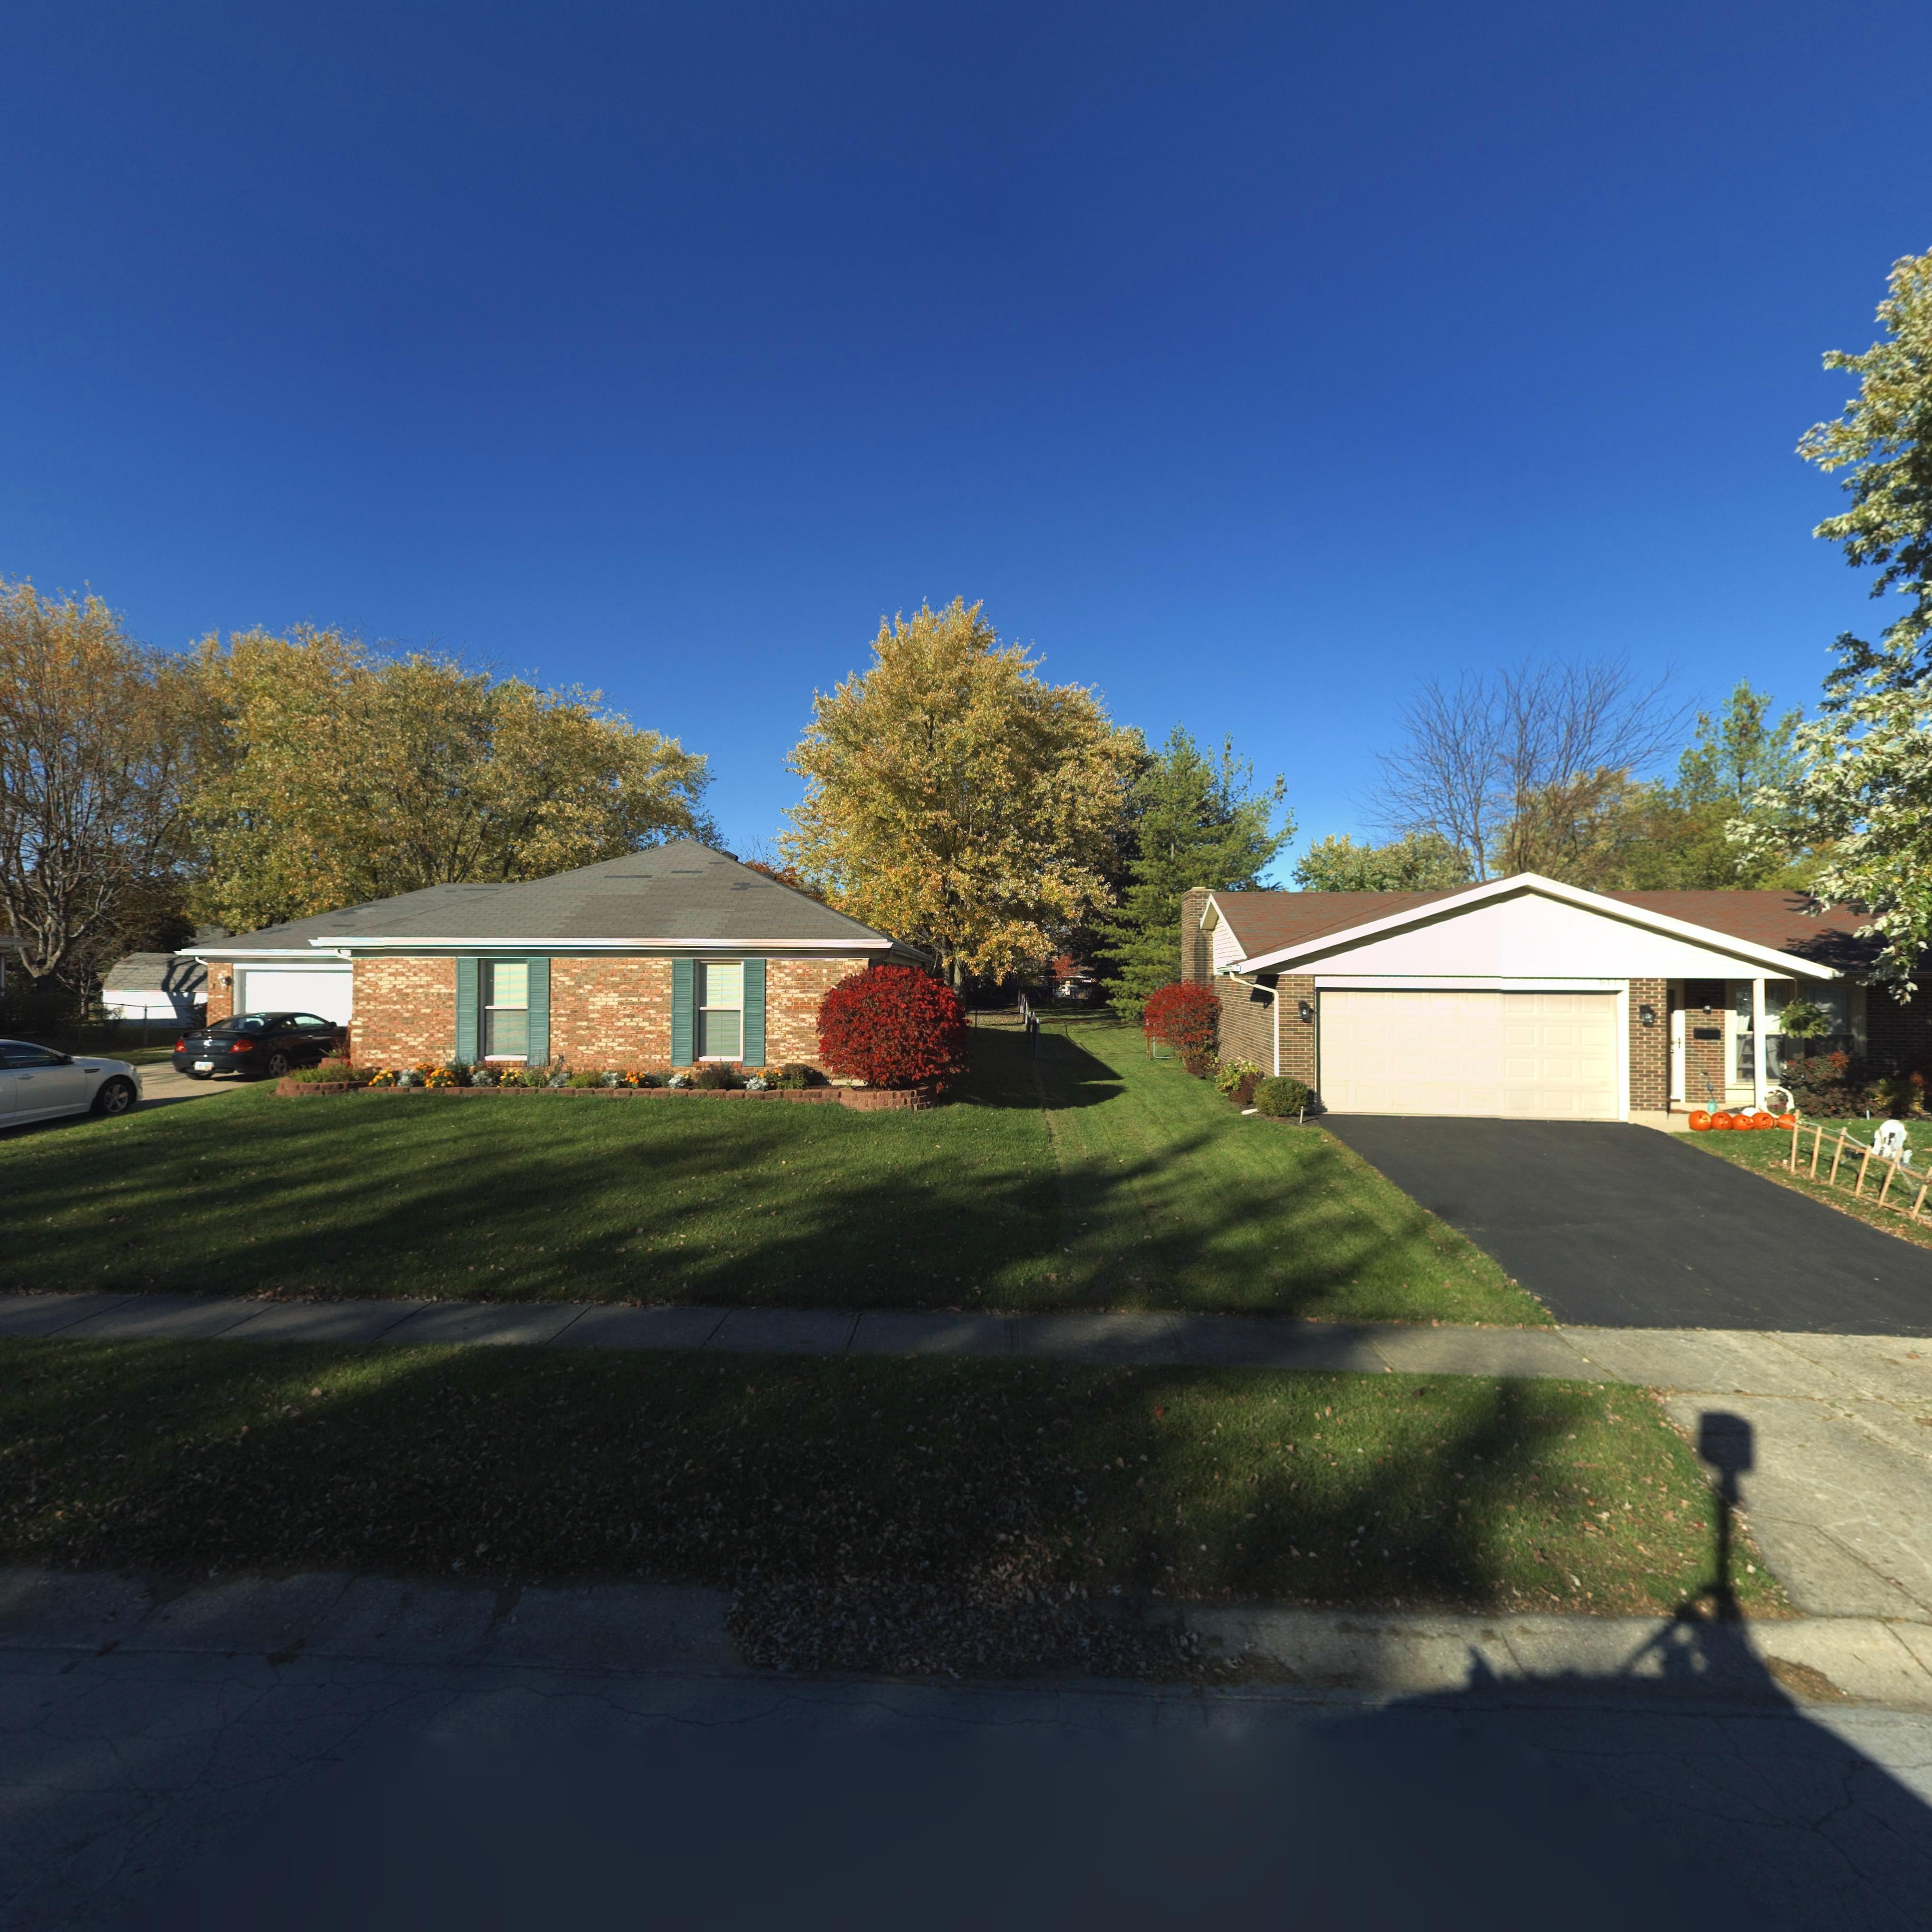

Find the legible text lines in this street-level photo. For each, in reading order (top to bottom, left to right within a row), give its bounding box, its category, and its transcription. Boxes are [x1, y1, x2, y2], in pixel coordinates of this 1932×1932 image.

[1599, 978, 1626, 985] StreetNumber: 5117